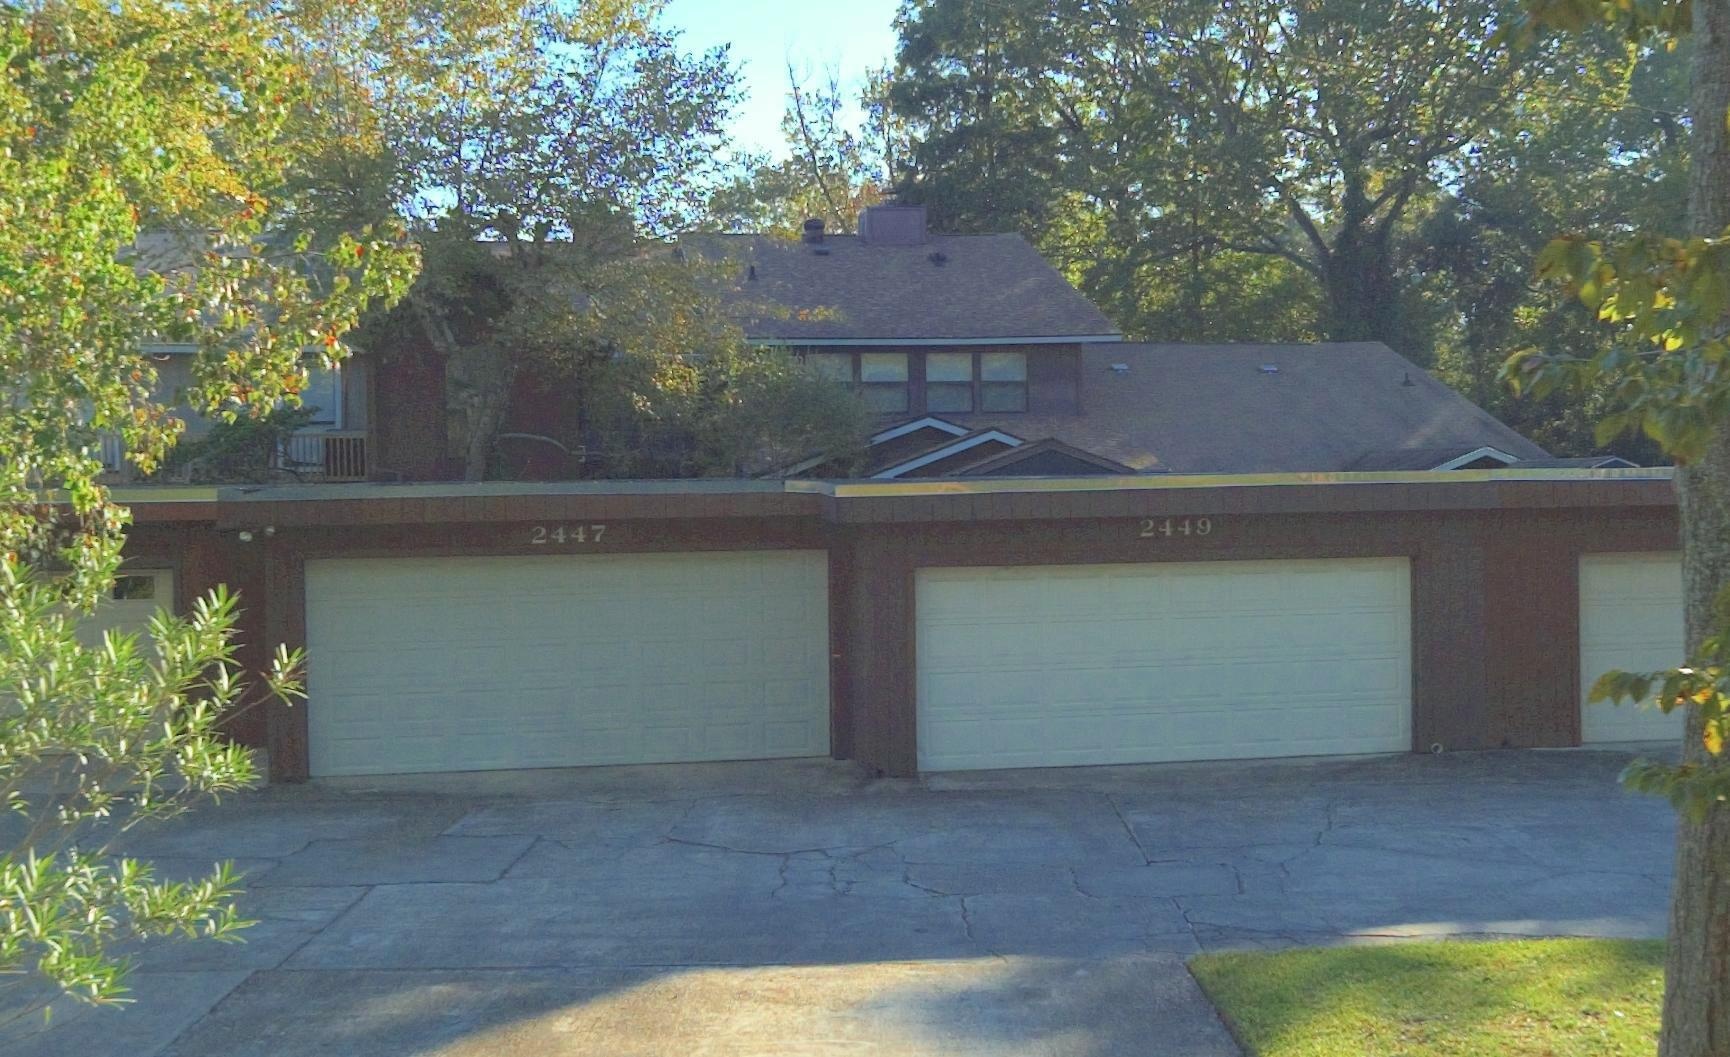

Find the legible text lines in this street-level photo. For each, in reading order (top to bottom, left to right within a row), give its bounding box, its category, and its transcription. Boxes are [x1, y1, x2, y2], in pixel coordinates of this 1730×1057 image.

[530, 522, 608, 546] StreetNumber: 2447
[1138, 515, 1213, 540] StreetNumber: 2449